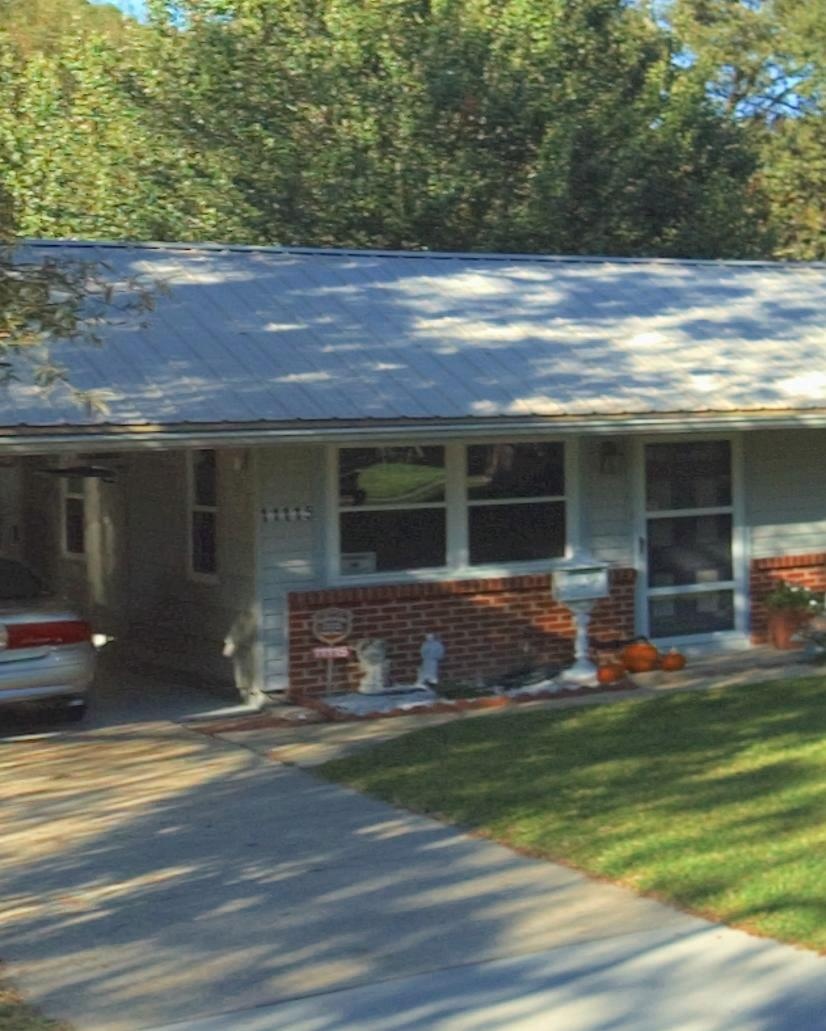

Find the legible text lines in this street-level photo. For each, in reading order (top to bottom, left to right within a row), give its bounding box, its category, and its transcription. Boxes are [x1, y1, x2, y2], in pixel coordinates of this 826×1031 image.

[259, 505, 314, 524] StreetNumber: 11115
[311, 645, 350, 659] StreetNumber: 11115